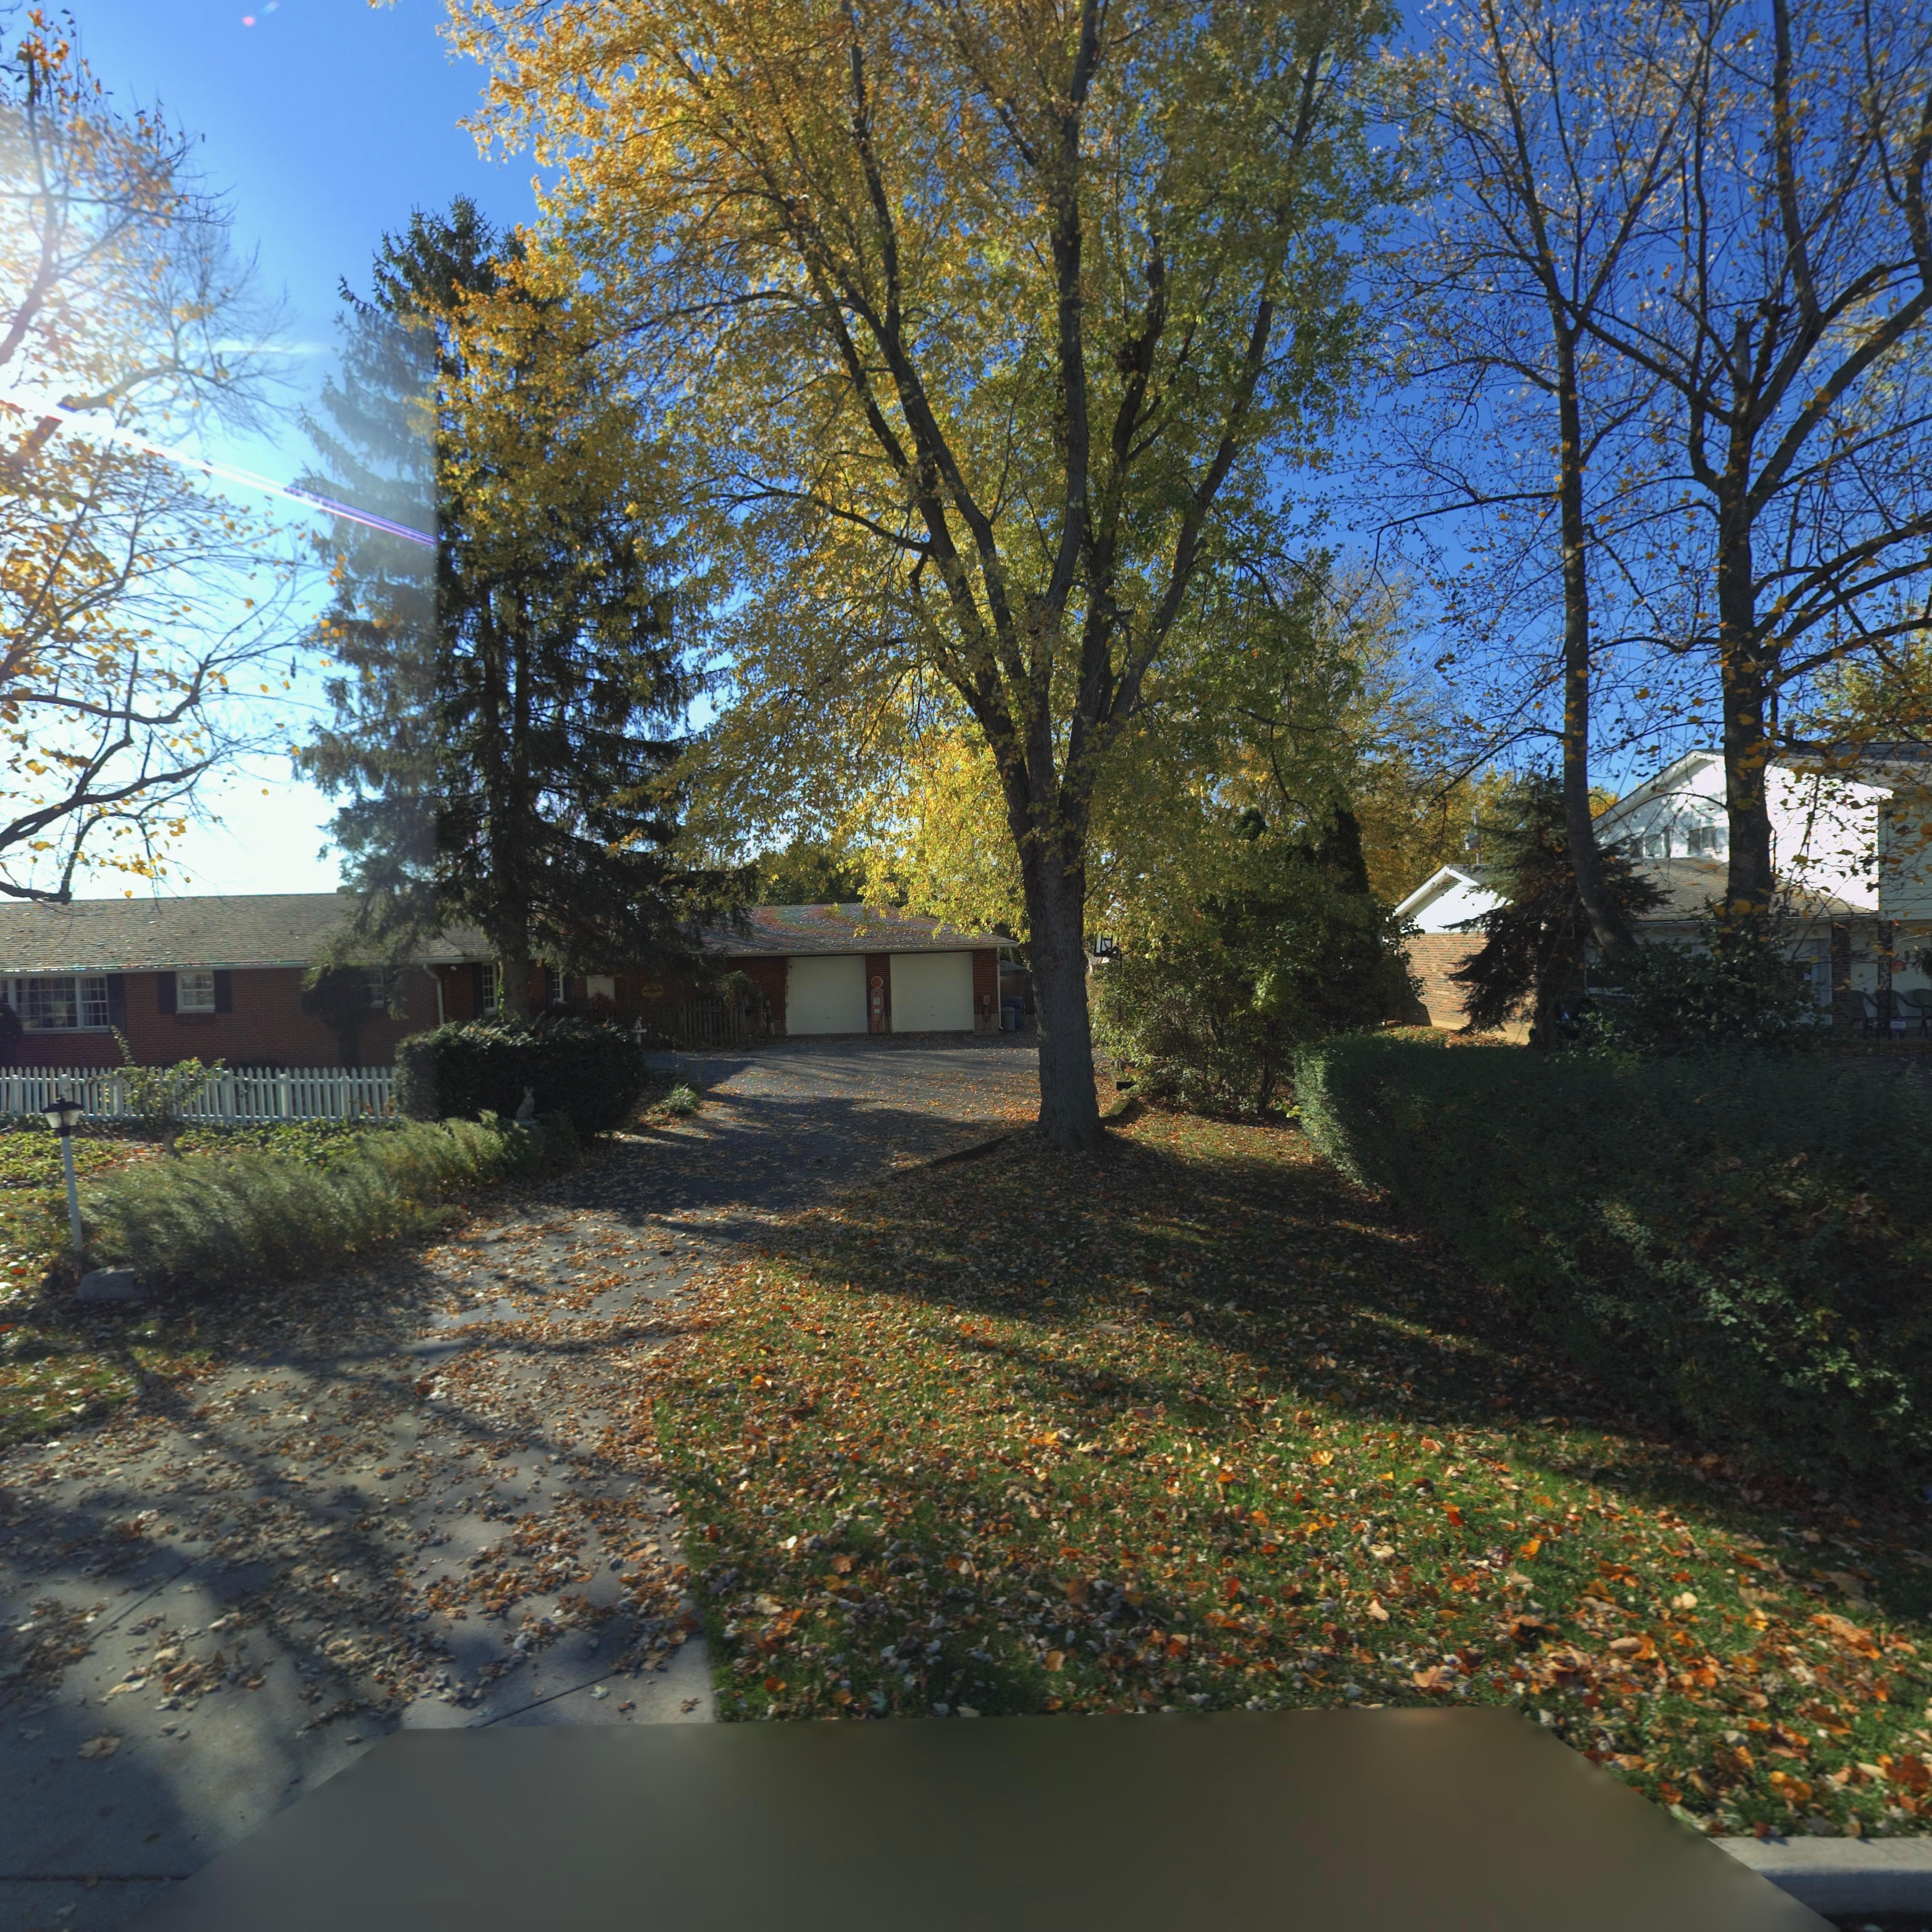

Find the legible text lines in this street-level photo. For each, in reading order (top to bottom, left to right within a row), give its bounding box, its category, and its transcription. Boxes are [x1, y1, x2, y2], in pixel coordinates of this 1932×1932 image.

[1903, 950, 1909, 957] StreetNumber: 9